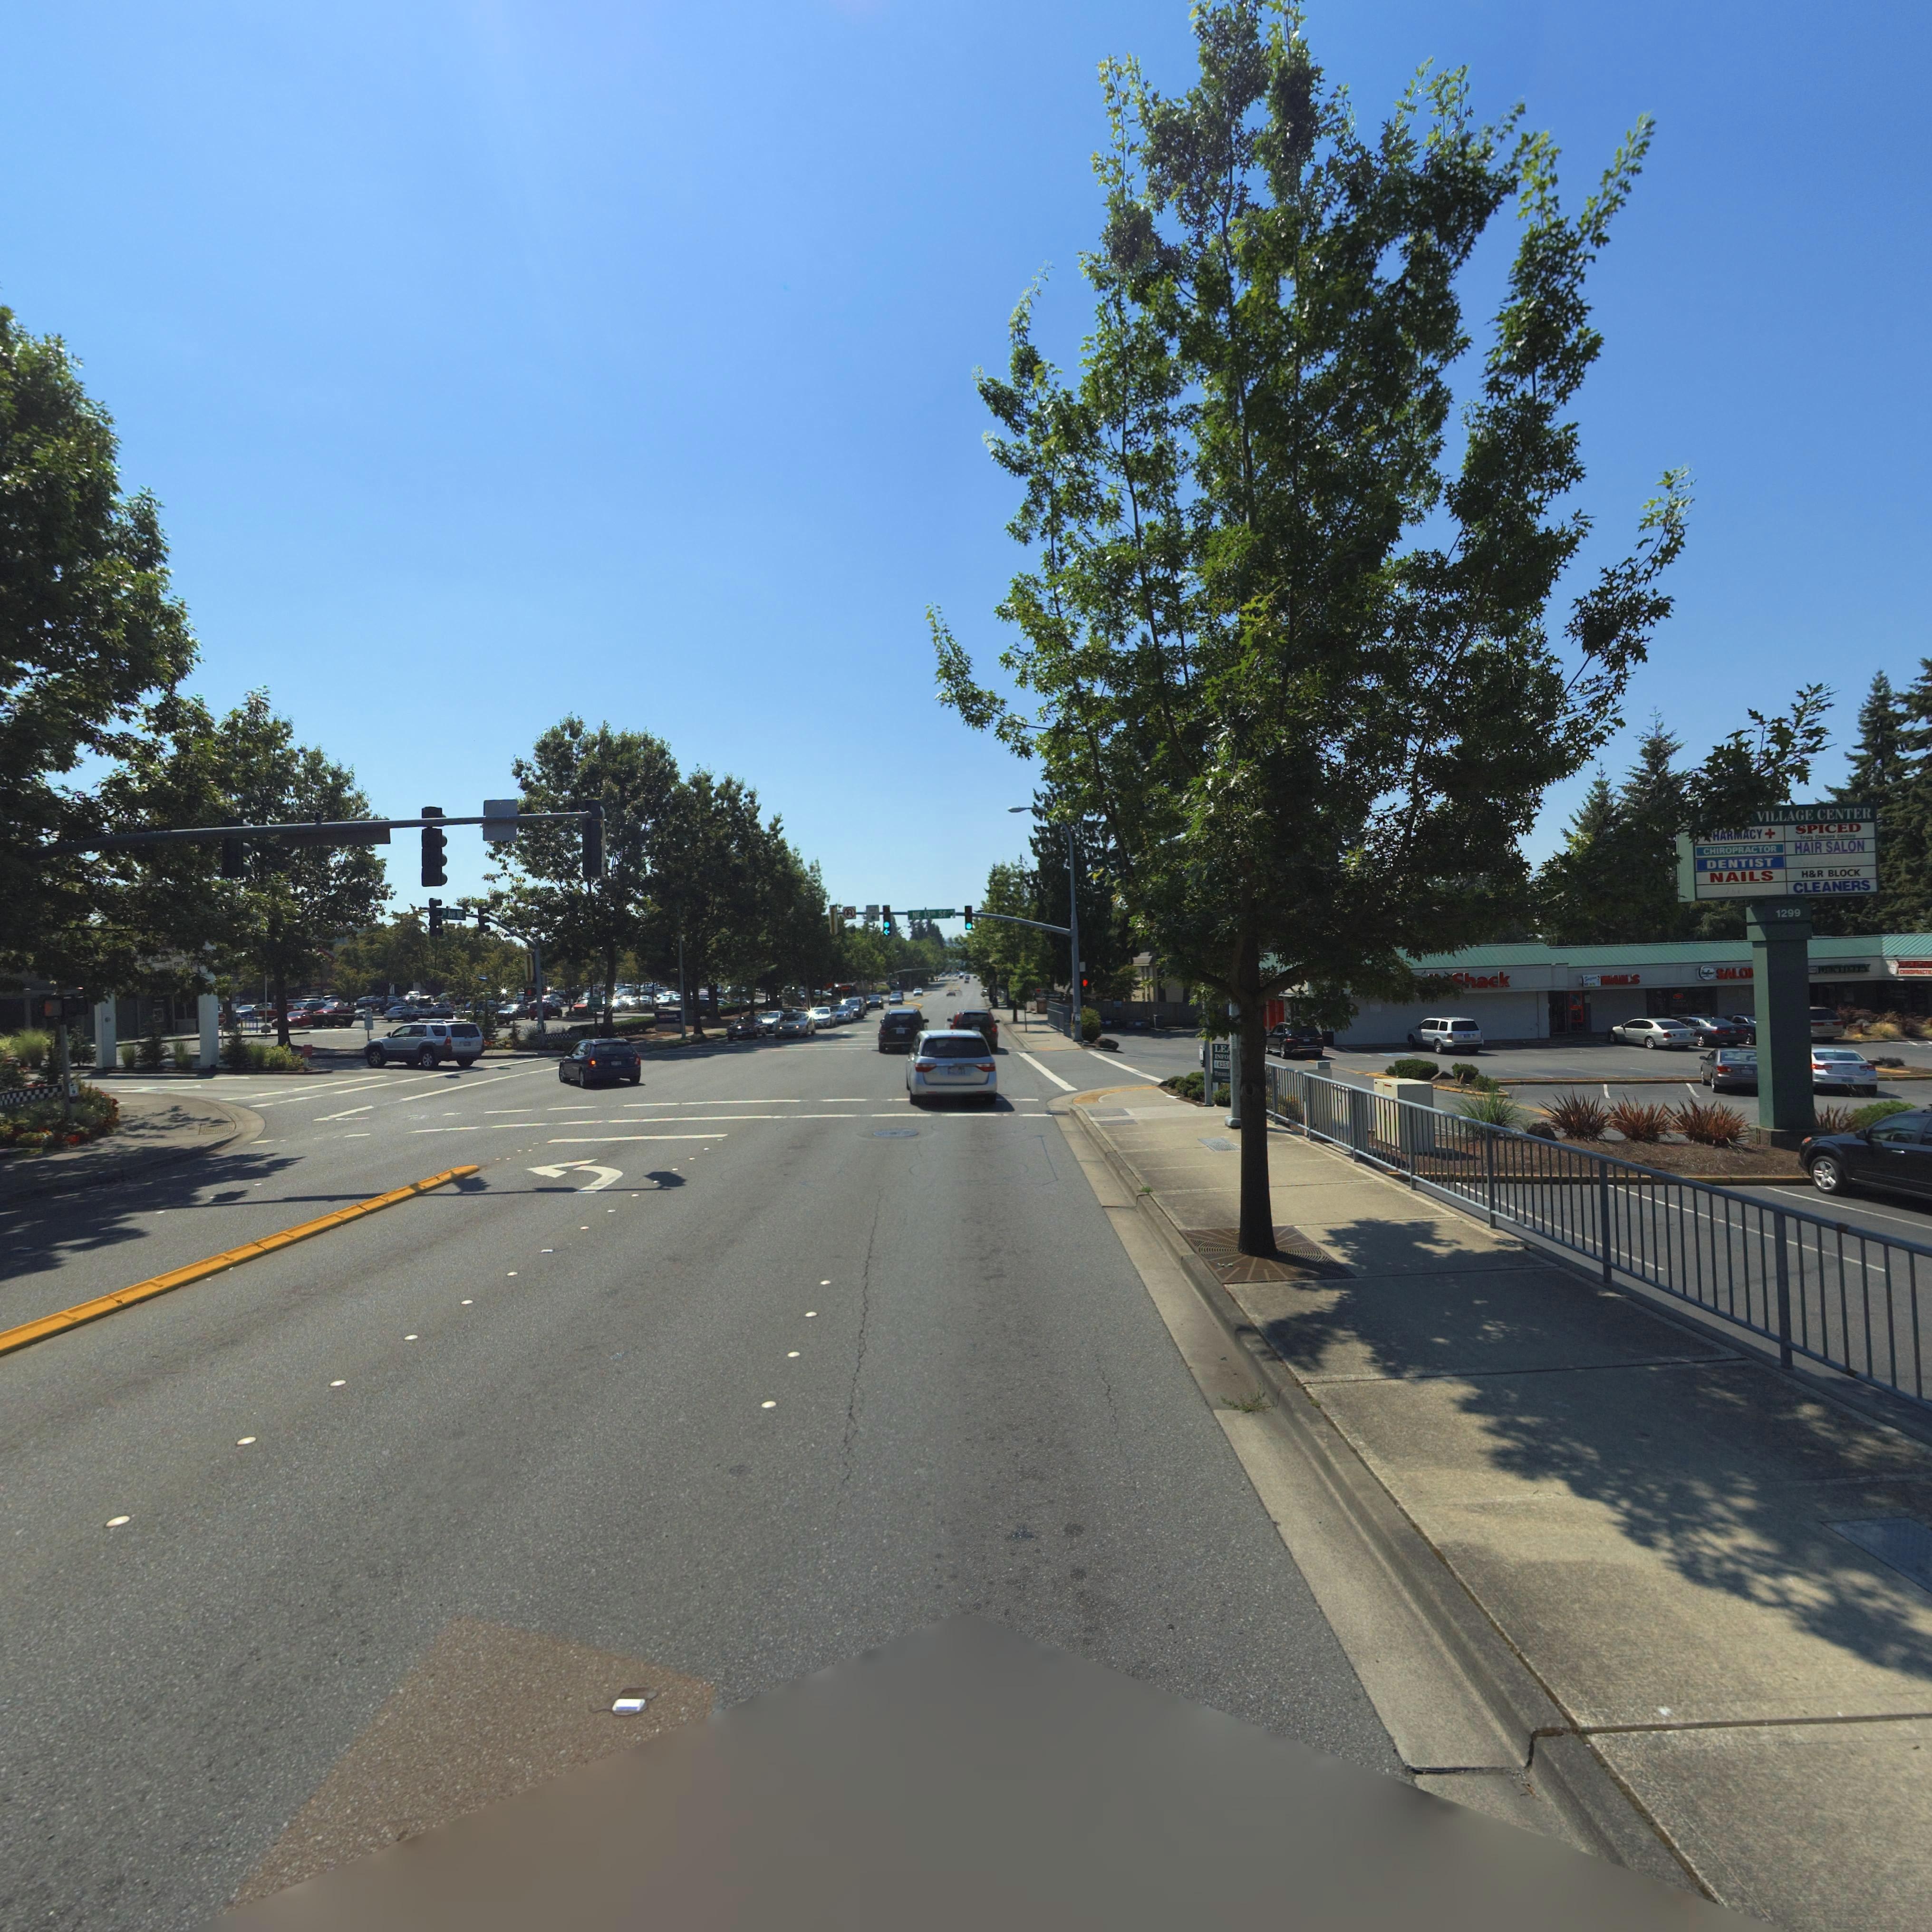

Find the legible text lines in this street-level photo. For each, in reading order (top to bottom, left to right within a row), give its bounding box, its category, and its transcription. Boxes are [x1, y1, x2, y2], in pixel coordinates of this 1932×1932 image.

[1795, 823, 1862, 834] BusinessName: SPICED
[1702, 845, 1777, 855] BusinessName: CHIROPRACTOR
[1795, 839, 1867, 854] BusinessName: HAIR SALON
[1705, 856, 1775, 869] BusinessName: DENTIST
[1708, 869, 1775, 884] BusinessName: NAILS
[1800, 869, 1861, 878] BusinessName: H*R BLOCK
[1793, 879, 1872, 894] BusinessName: CLEANERS
[912, 910, 946, 918] StreetName: NE 13** St
[1775, 907, 1804, 919] StreetNumber: 1299
[1717, 966, 1749, 980] BusinessName: SALO
[1459, 973, 1510, 988] BusinessName: **ack